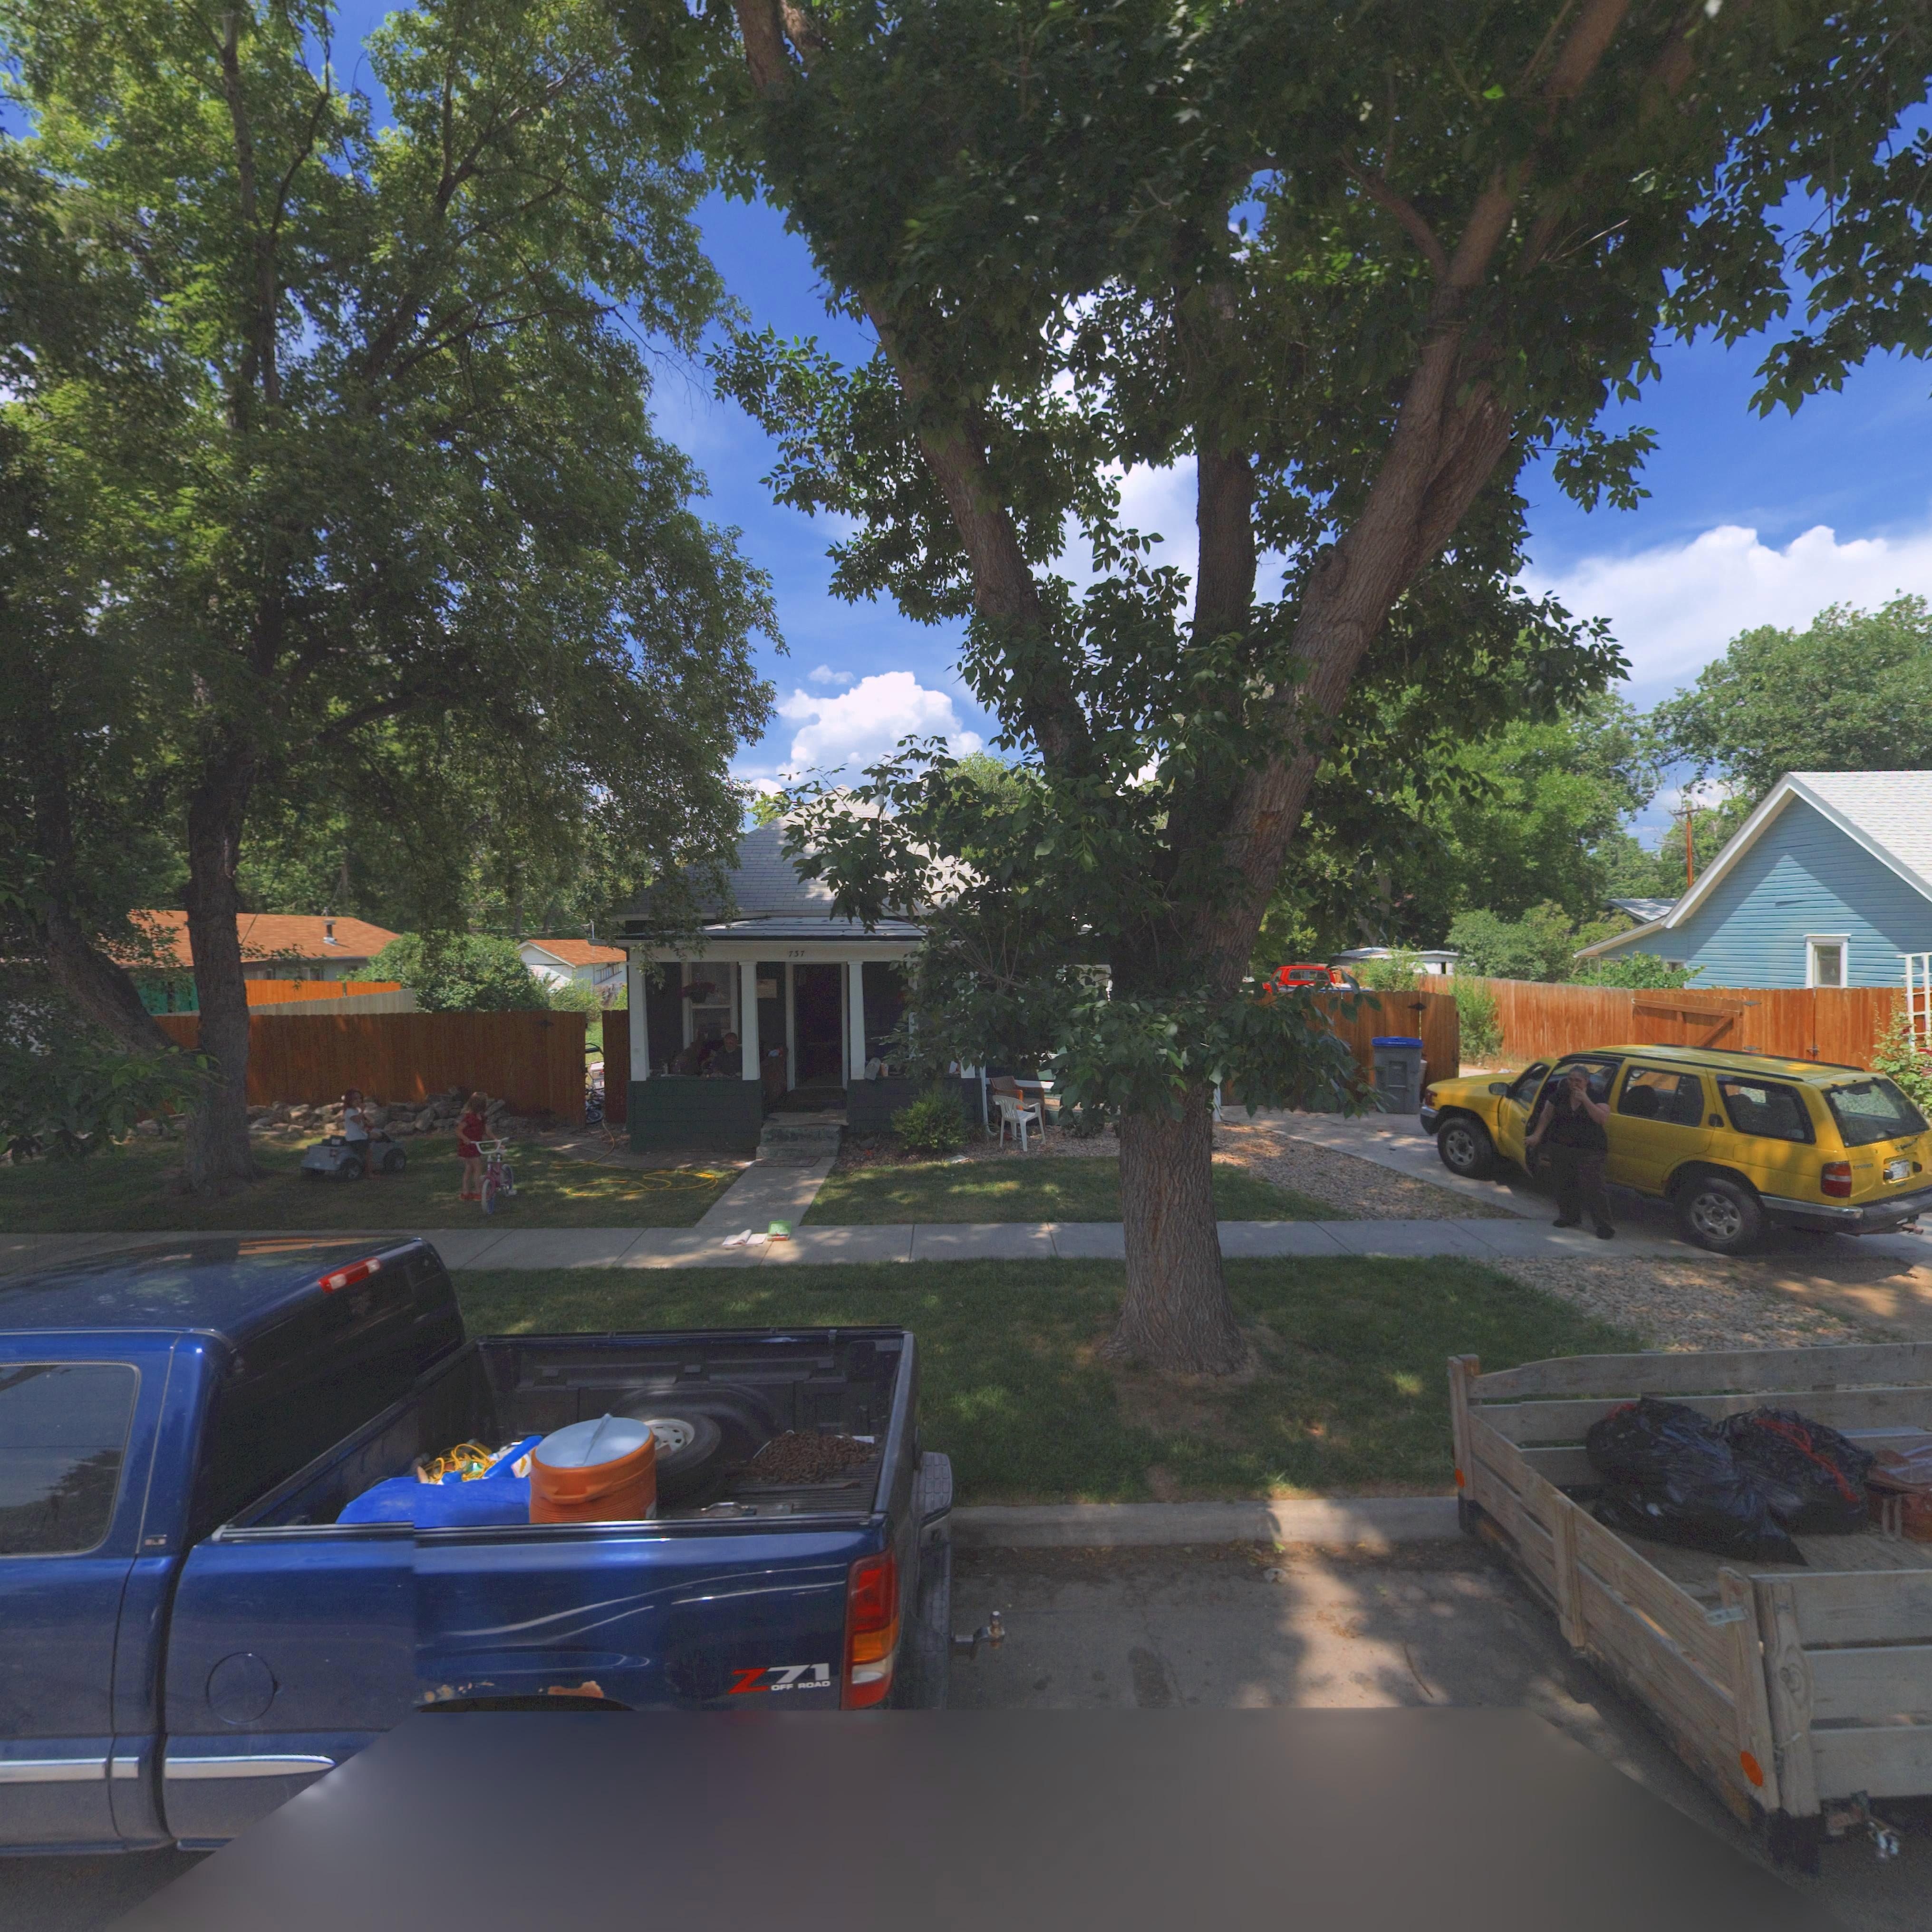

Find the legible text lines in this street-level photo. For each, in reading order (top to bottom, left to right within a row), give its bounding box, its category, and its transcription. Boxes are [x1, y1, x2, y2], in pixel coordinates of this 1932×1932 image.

[788, 950, 805, 957] StreetNumber: 737